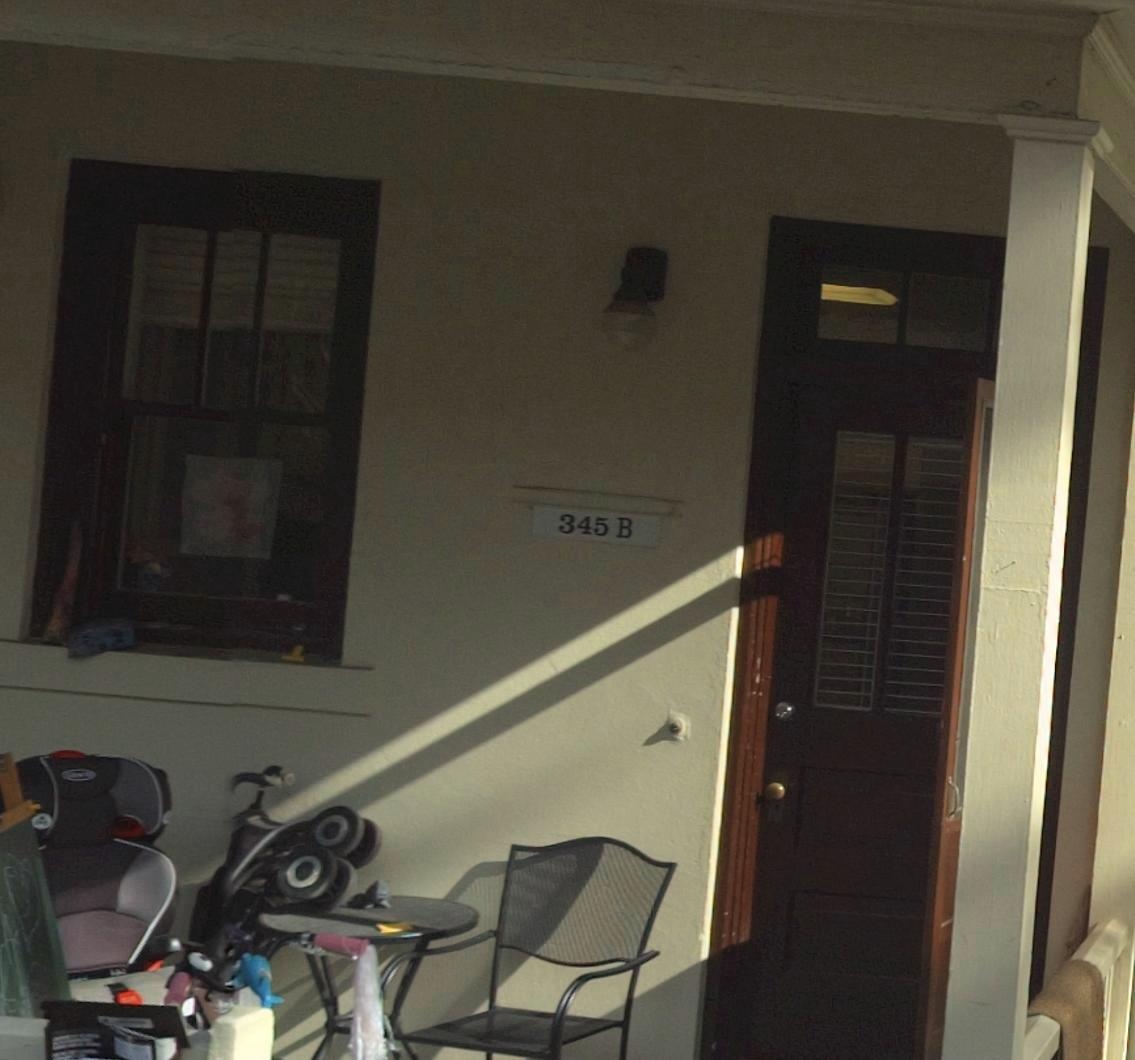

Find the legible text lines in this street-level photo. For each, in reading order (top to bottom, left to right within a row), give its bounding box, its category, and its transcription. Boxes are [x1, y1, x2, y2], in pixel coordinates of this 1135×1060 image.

[555, 512, 634, 540] StreetNumber: 345 B